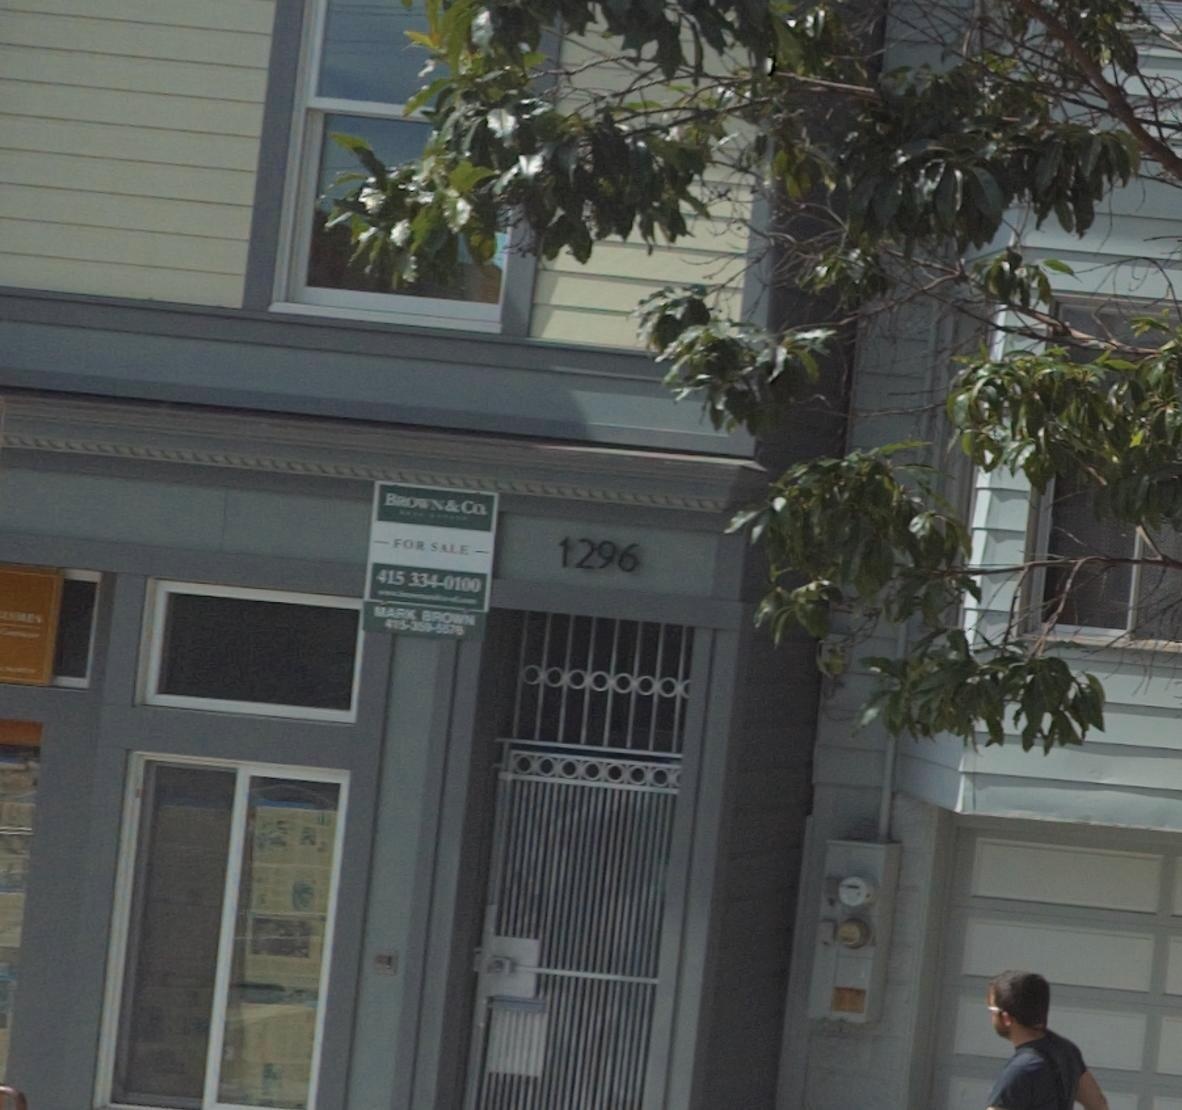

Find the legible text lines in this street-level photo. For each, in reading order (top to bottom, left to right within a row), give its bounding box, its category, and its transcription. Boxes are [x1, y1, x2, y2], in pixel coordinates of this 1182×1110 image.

[383, 491, 489, 516] None: BROWN & CO.
[391, 537, 470, 557] None: FOR SALE
[556, 534, 641, 575] StreetNumber: 1296
[374, 568, 482, 594] None: 415 334-0100
[373, 605, 476, 627] None: MARK BROWN
[383, 617, 466, 637] None: 415-359-5876